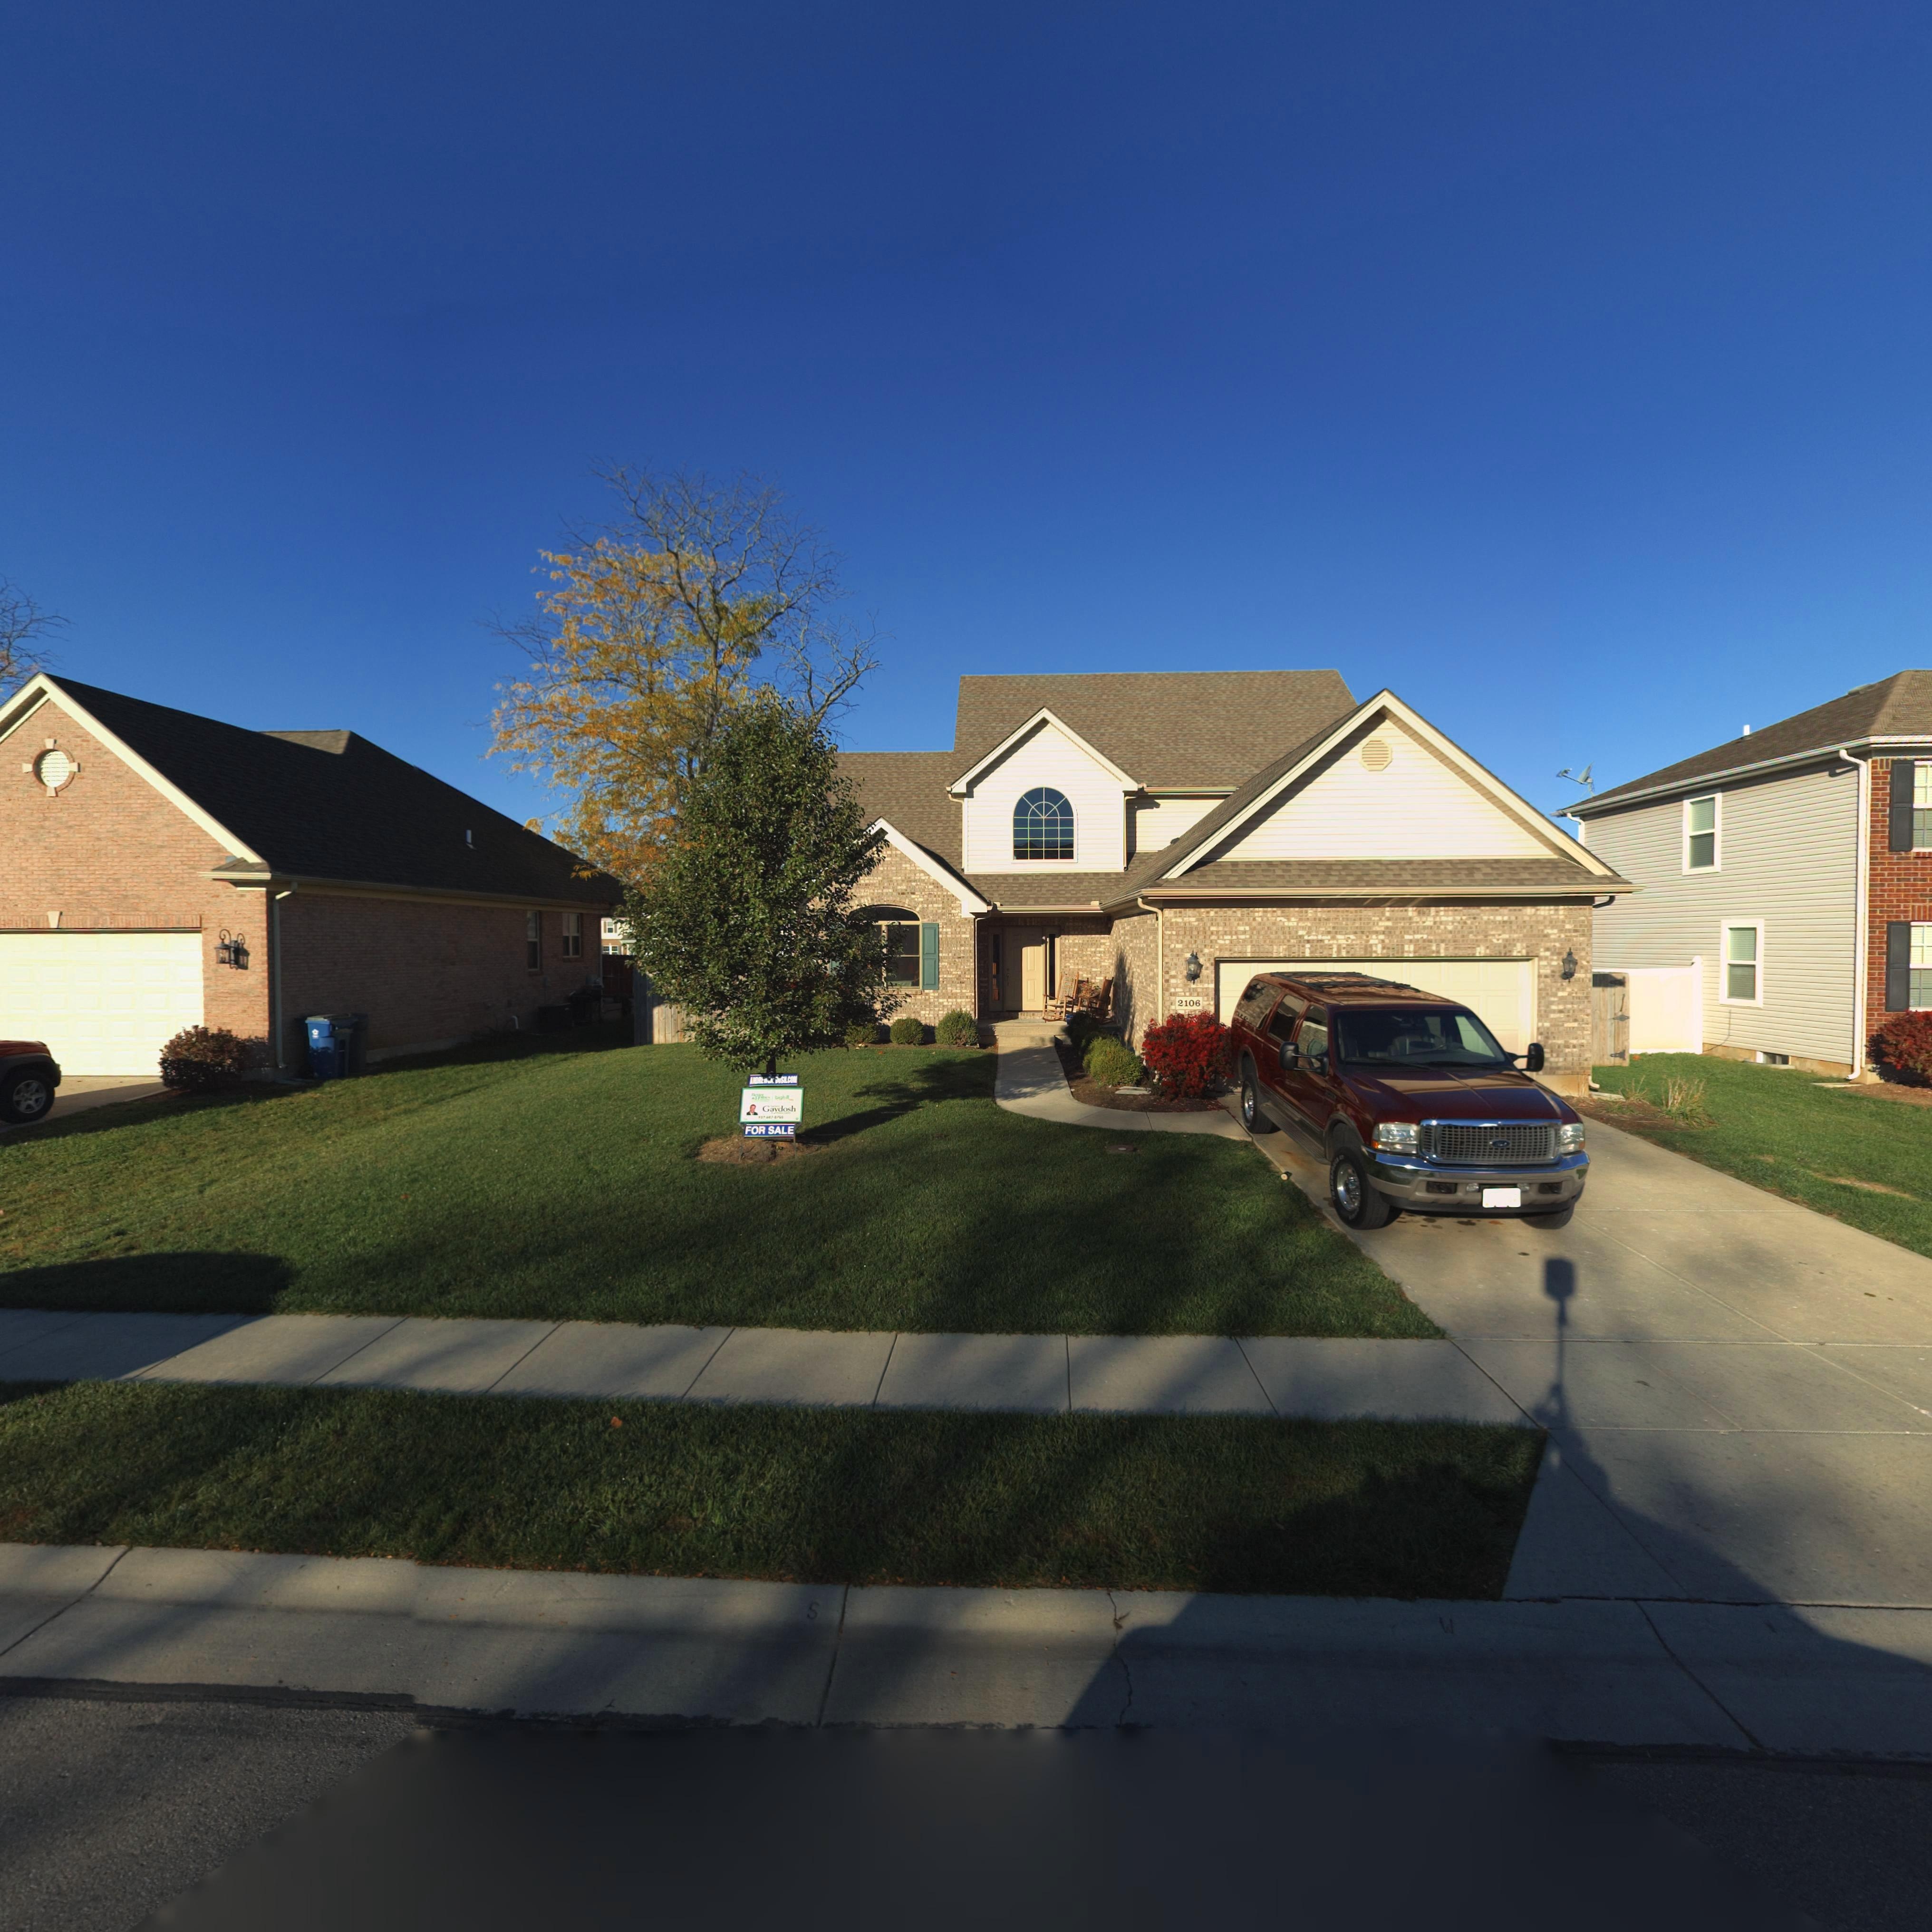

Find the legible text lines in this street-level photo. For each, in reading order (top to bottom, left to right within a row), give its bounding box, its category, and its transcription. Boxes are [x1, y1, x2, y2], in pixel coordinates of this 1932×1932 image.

[1177, 999, 1200, 1007] StreetNumber: 2106